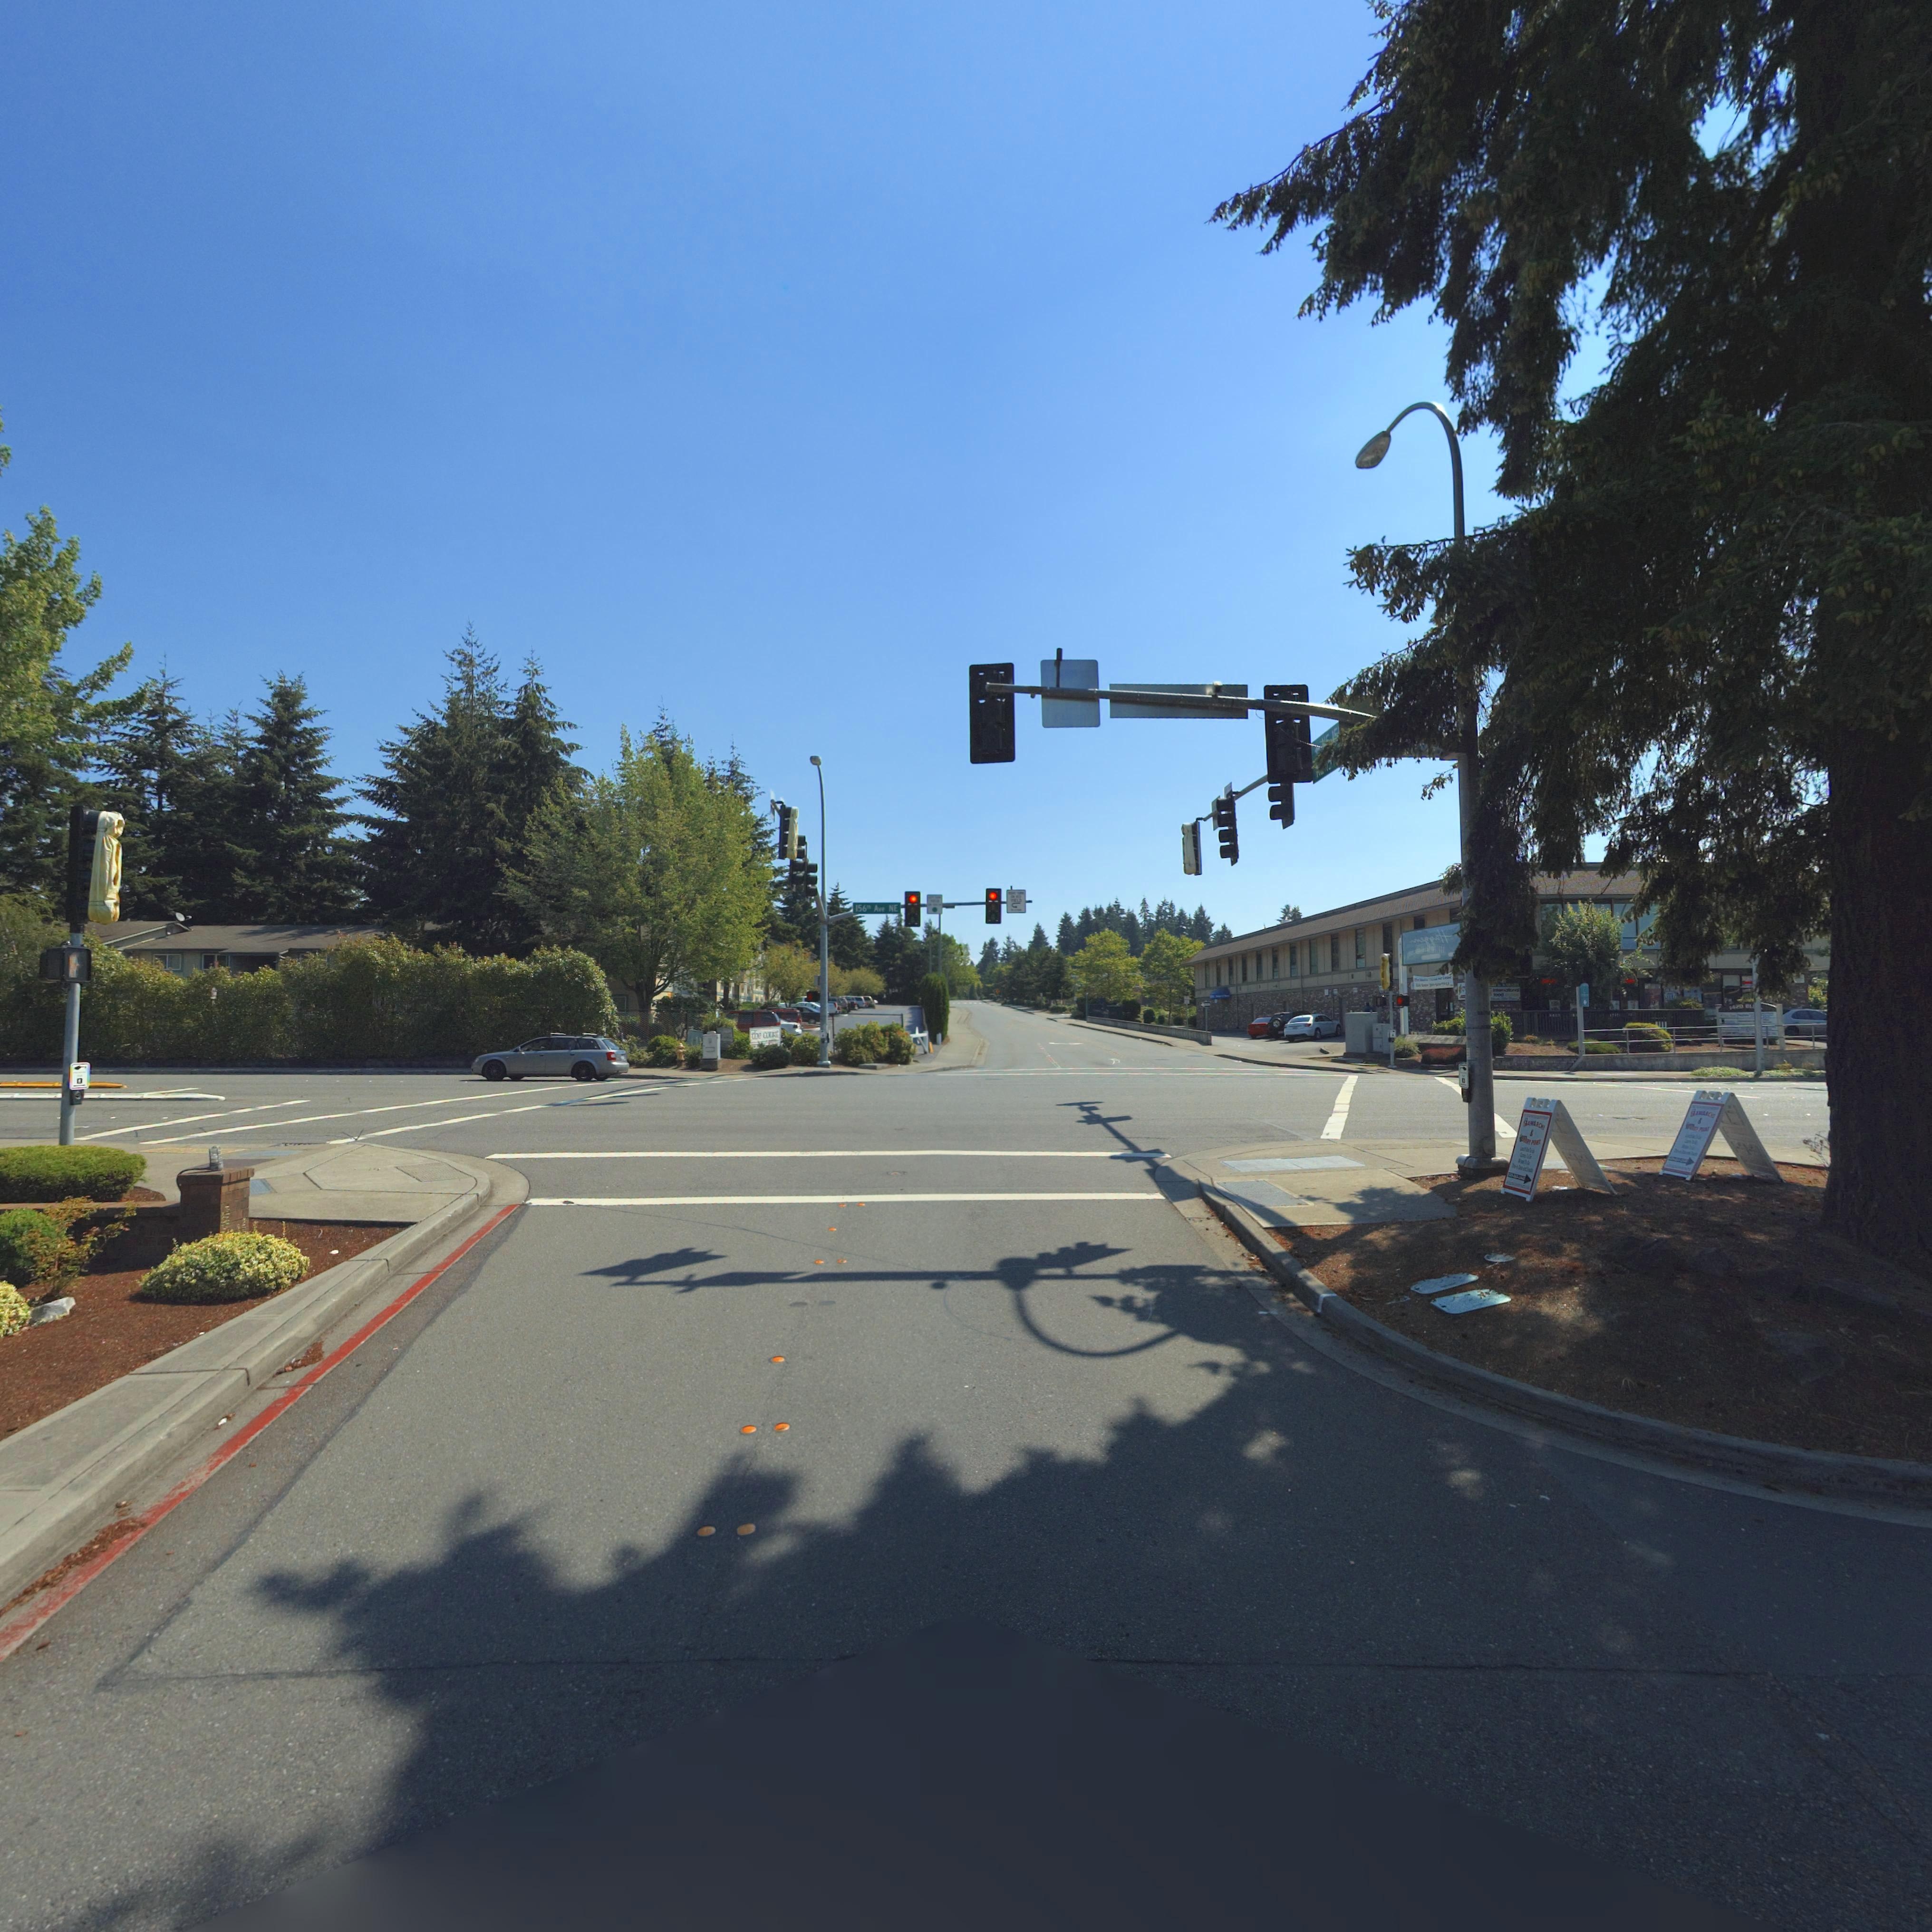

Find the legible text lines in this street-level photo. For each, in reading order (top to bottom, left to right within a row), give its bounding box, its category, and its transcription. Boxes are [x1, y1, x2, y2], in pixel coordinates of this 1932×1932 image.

[853, 902, 899, 914] StreetName: 156th Ave NE
[750, 1029, 779, 1040] BusinessName: the court